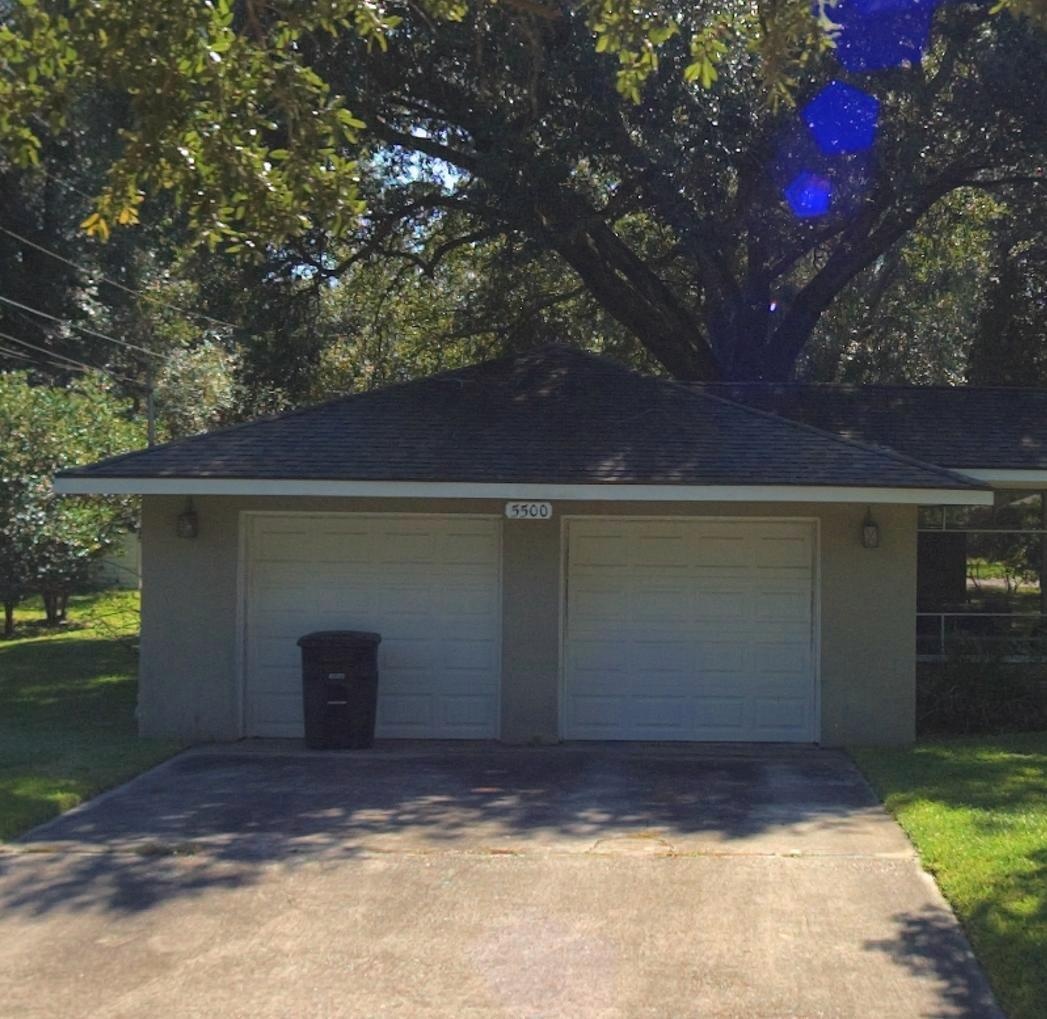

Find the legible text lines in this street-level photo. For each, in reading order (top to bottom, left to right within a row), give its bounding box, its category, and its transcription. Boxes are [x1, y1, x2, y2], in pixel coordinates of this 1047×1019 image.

[510, 500, 548, 519] StreetNumber: 5500